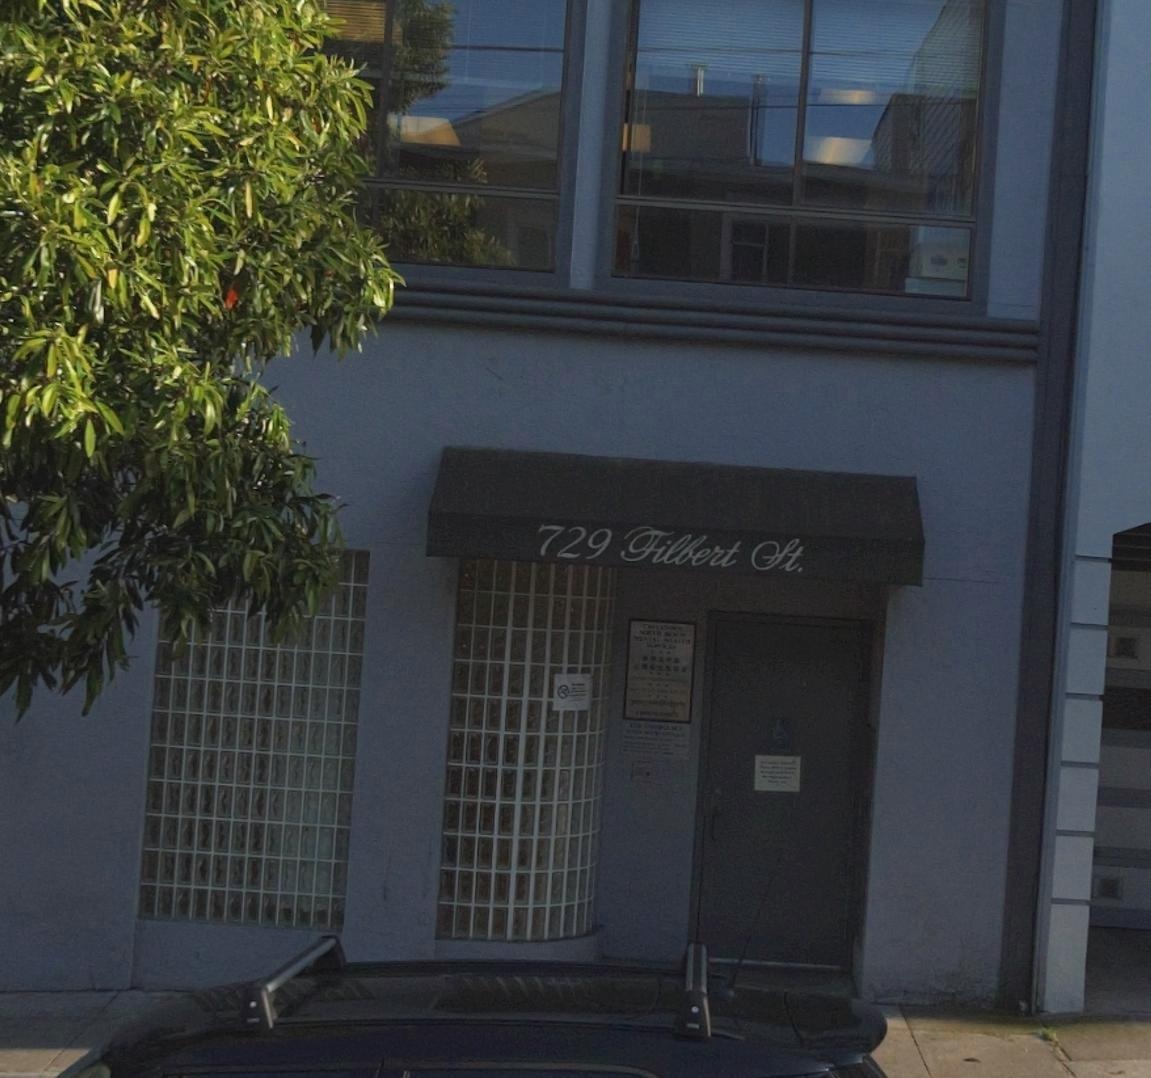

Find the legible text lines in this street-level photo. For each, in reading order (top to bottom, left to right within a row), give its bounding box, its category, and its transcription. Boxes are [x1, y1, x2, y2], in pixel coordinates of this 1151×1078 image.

[534, 520, 617, 564] StreetNumber: 729
[616, 524, 809, 577] StreetName: Filbert St.